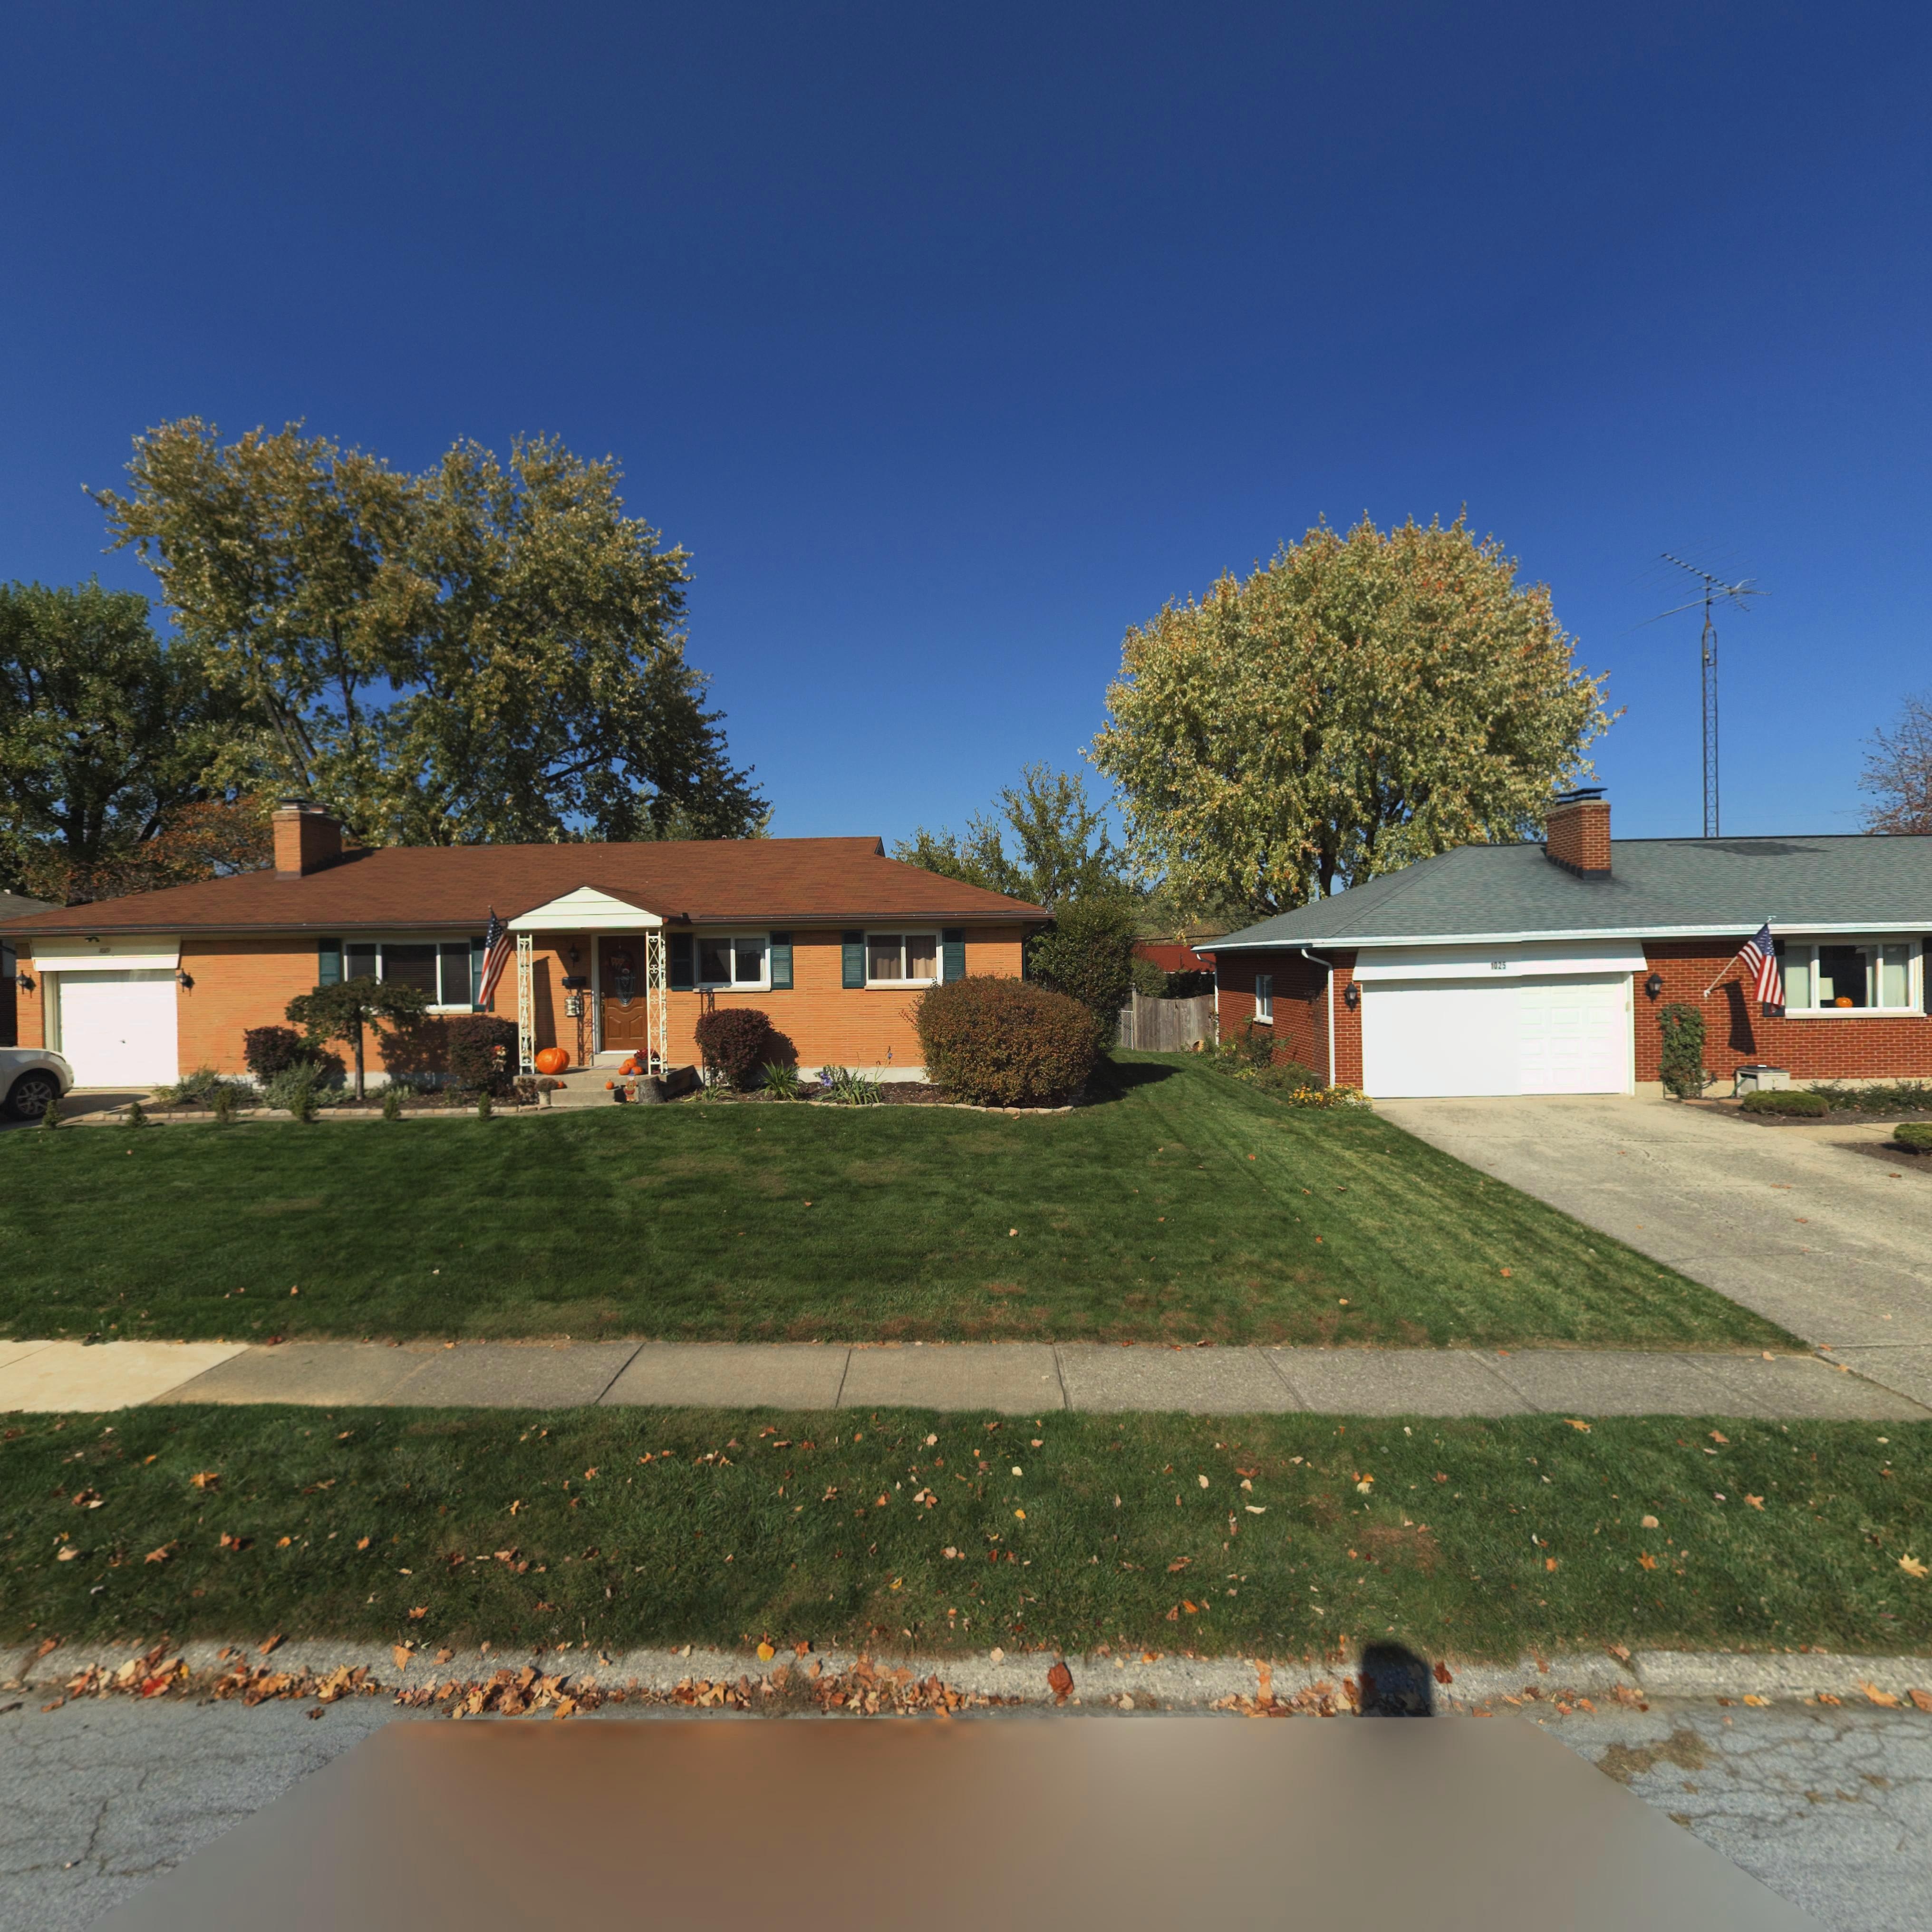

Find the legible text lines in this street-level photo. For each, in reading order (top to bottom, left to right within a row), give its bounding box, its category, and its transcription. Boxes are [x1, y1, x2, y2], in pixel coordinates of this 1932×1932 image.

[98, 947, 112, 955] StreetNumber: 1019
[1490, 961, 1507, 970] StreetNumber: 1025